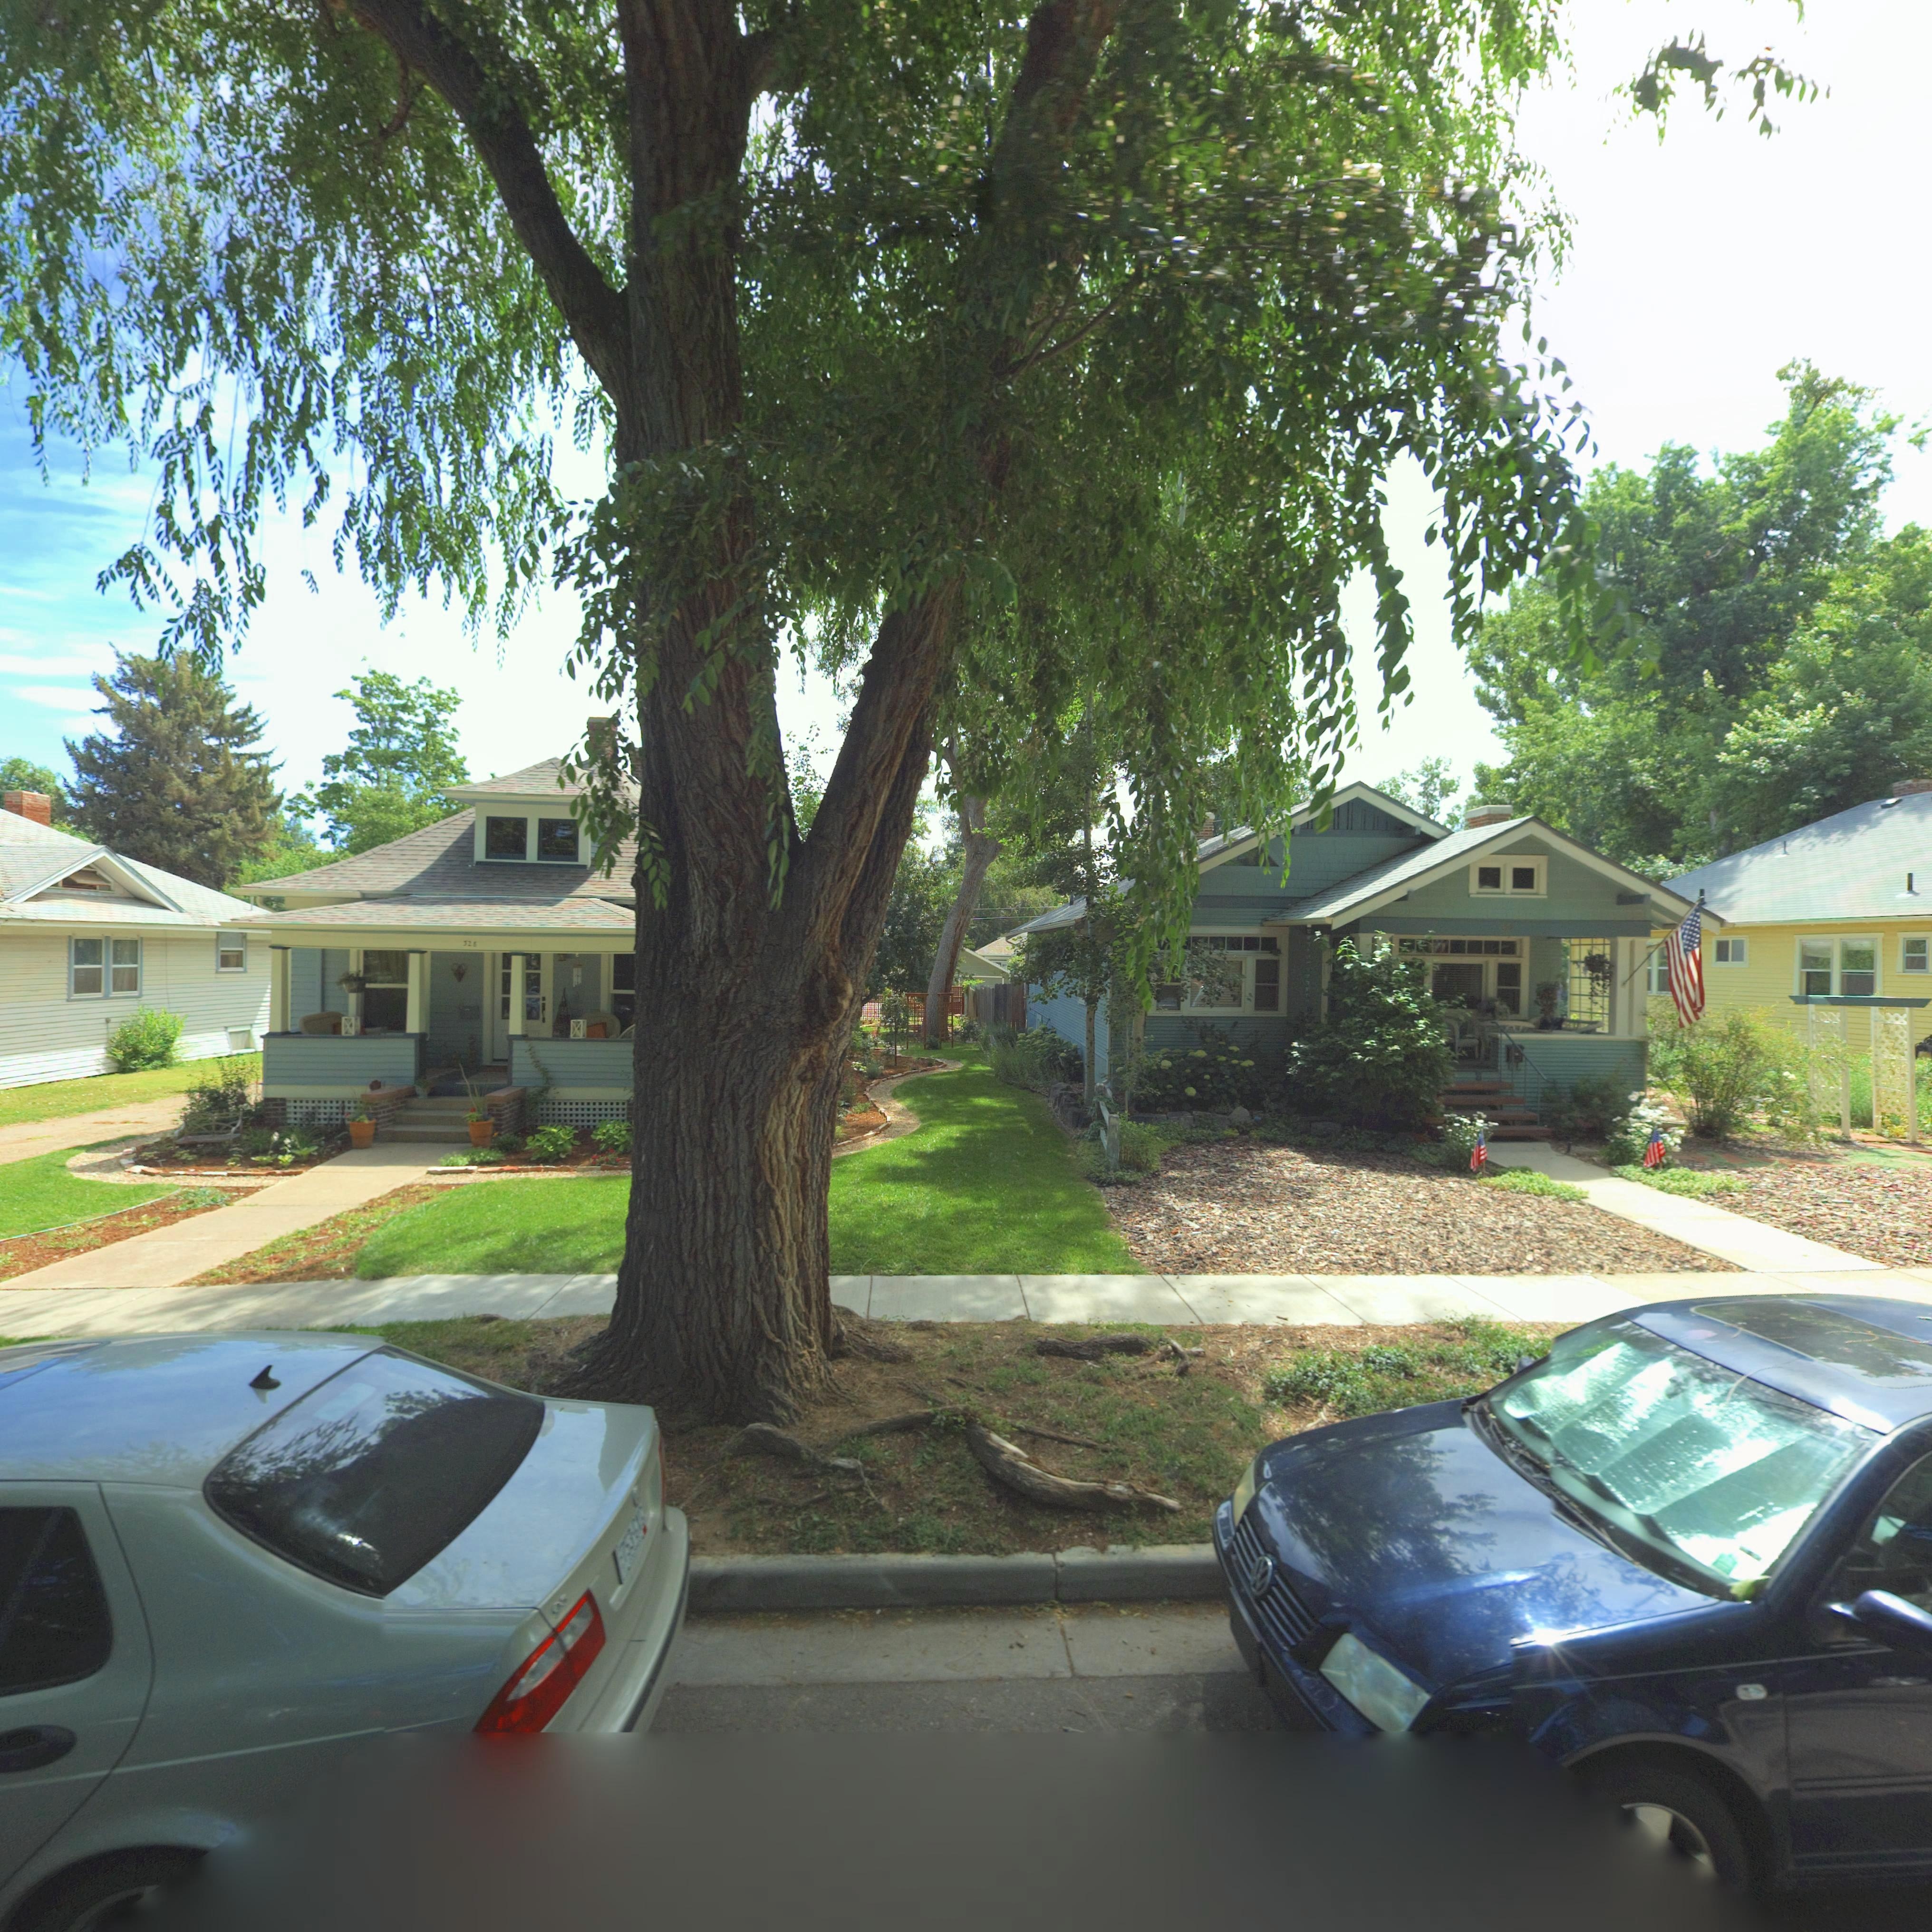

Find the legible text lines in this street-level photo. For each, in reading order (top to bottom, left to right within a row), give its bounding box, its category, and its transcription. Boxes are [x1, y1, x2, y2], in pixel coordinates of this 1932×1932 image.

[463, 940, 477, 947] StreetNumber: 328